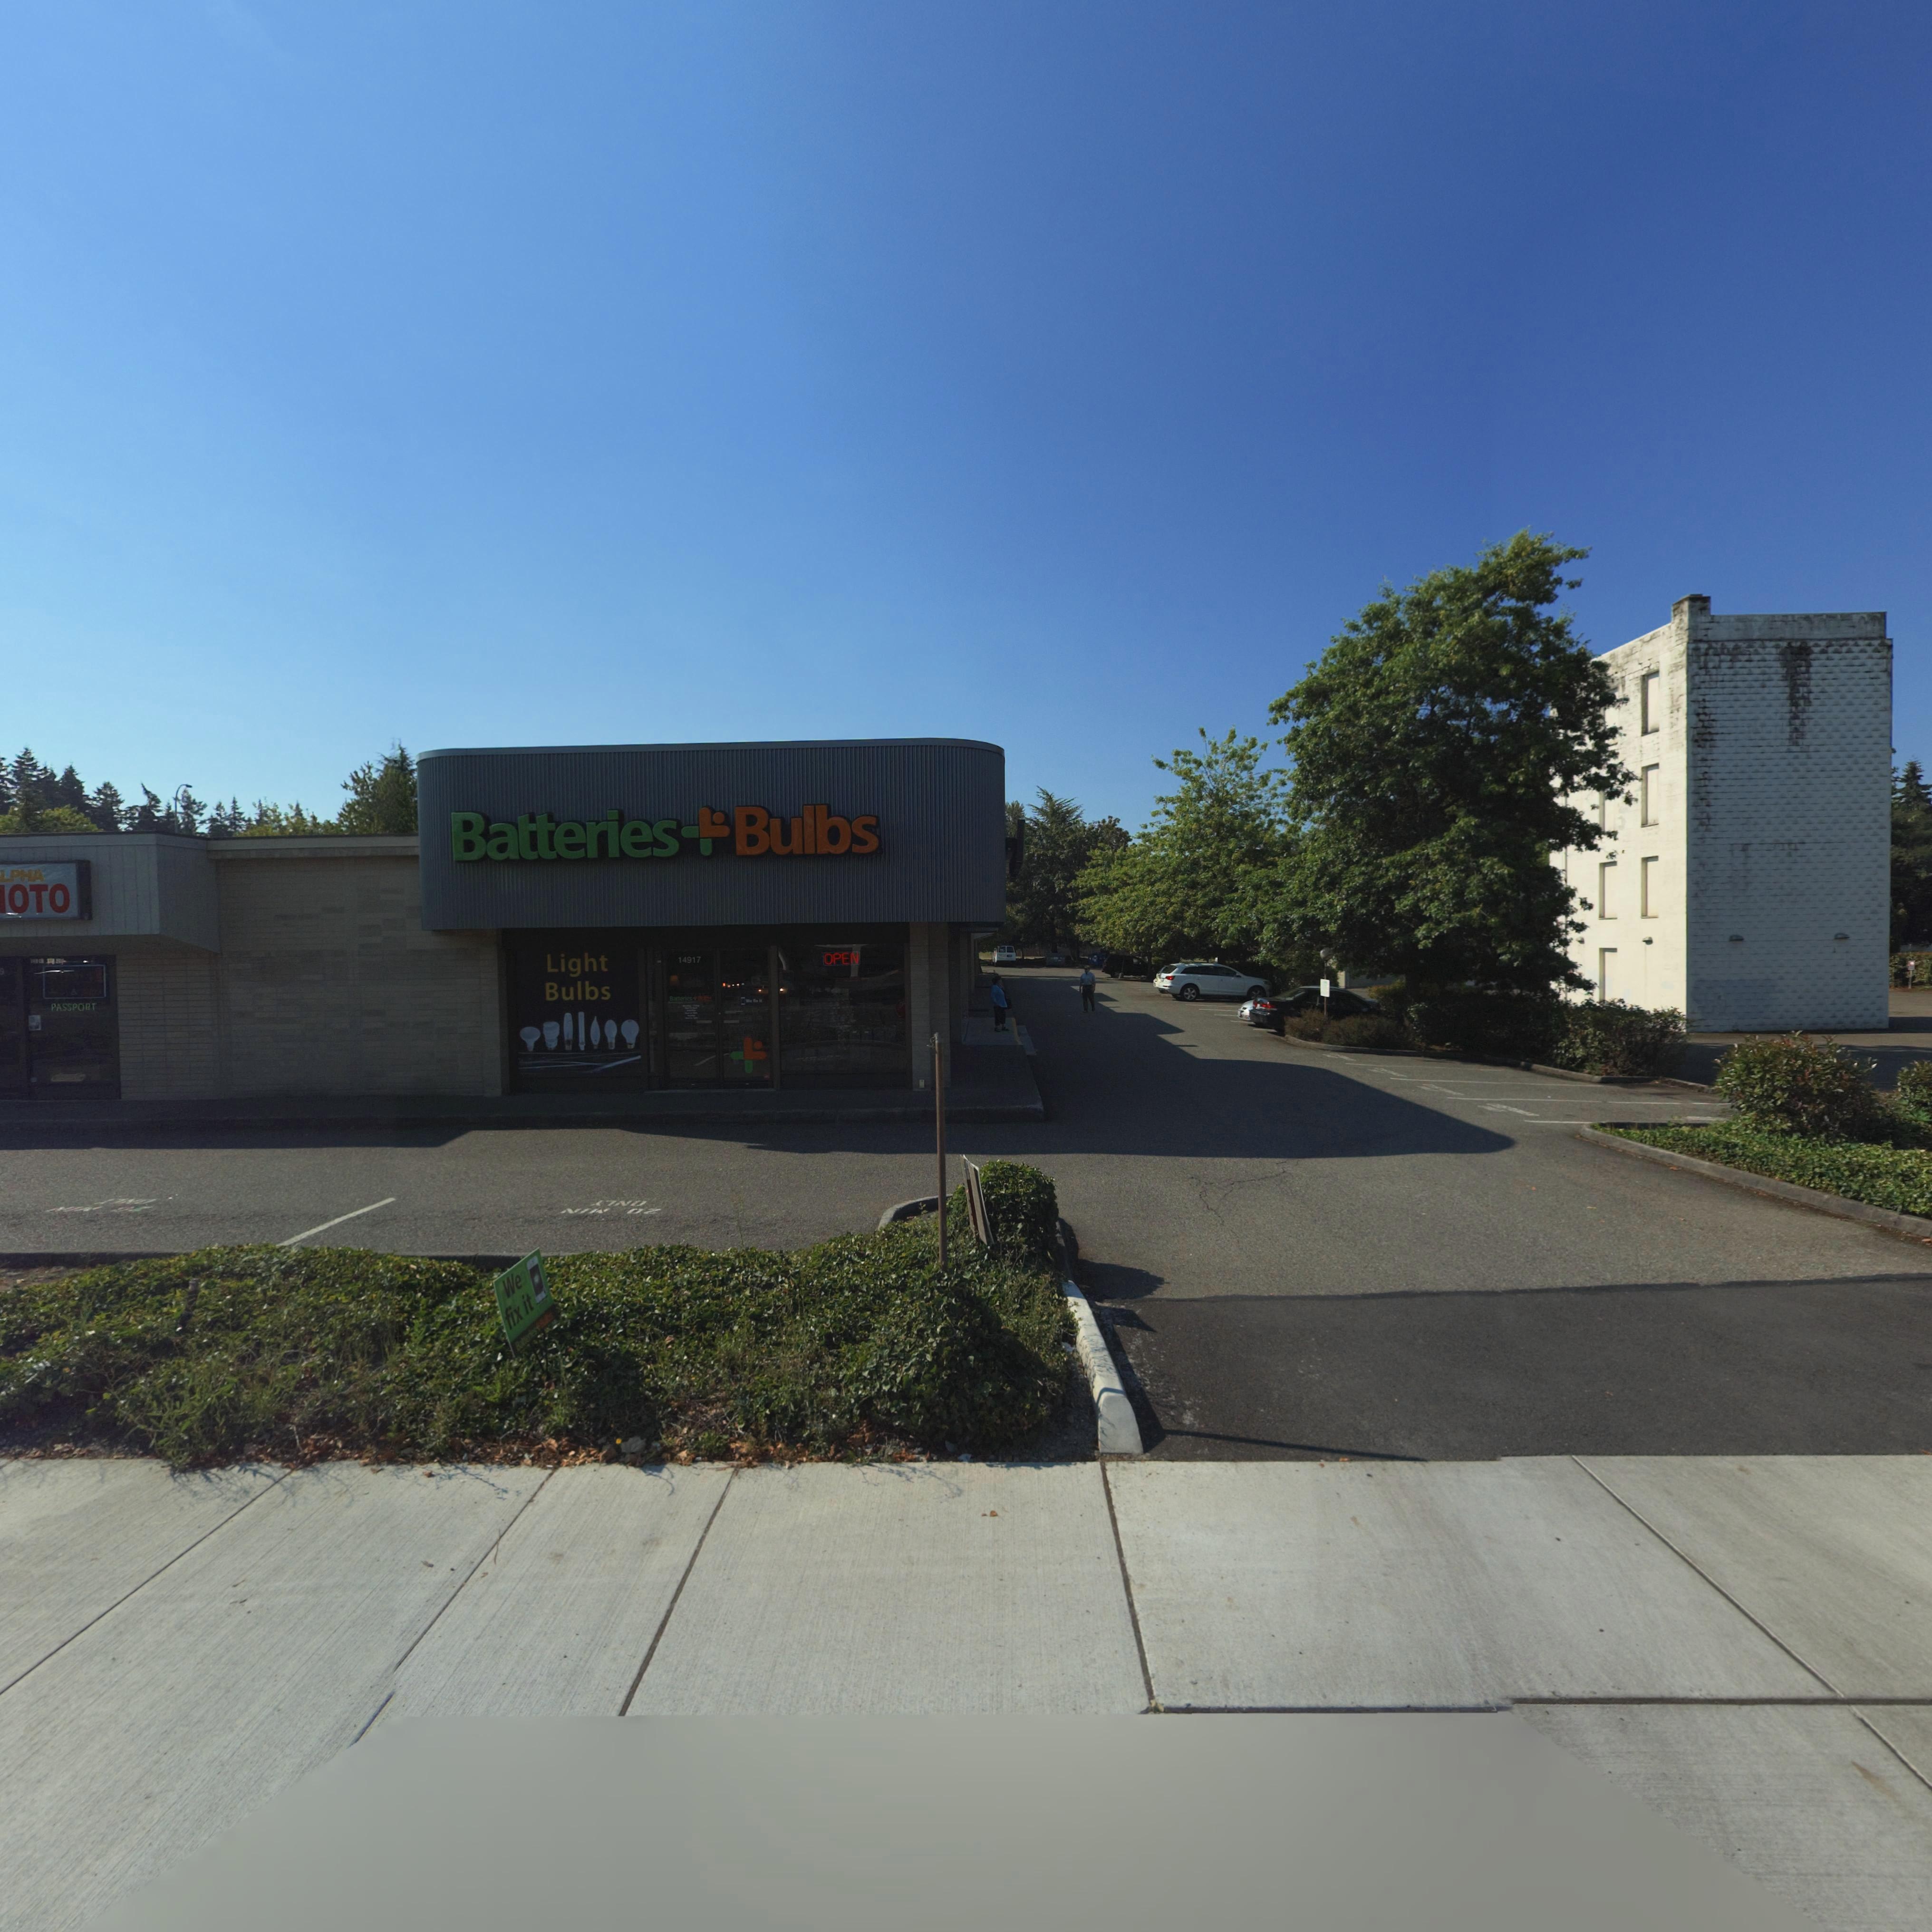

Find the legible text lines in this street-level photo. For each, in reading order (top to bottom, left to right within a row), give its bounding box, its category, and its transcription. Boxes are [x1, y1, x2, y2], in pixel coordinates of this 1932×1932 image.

[448, 802, 881, 864] BusinessName: Batteries*Bulbs
[0, 868, 46, 883] BusinessName: LPHA
[6, 882, 71, 915] BusinessName: OTO
[677, 955, 702, 964] StreetNumber: 14917
[513, 1326, 538, 1352] BusinessName: Batteries